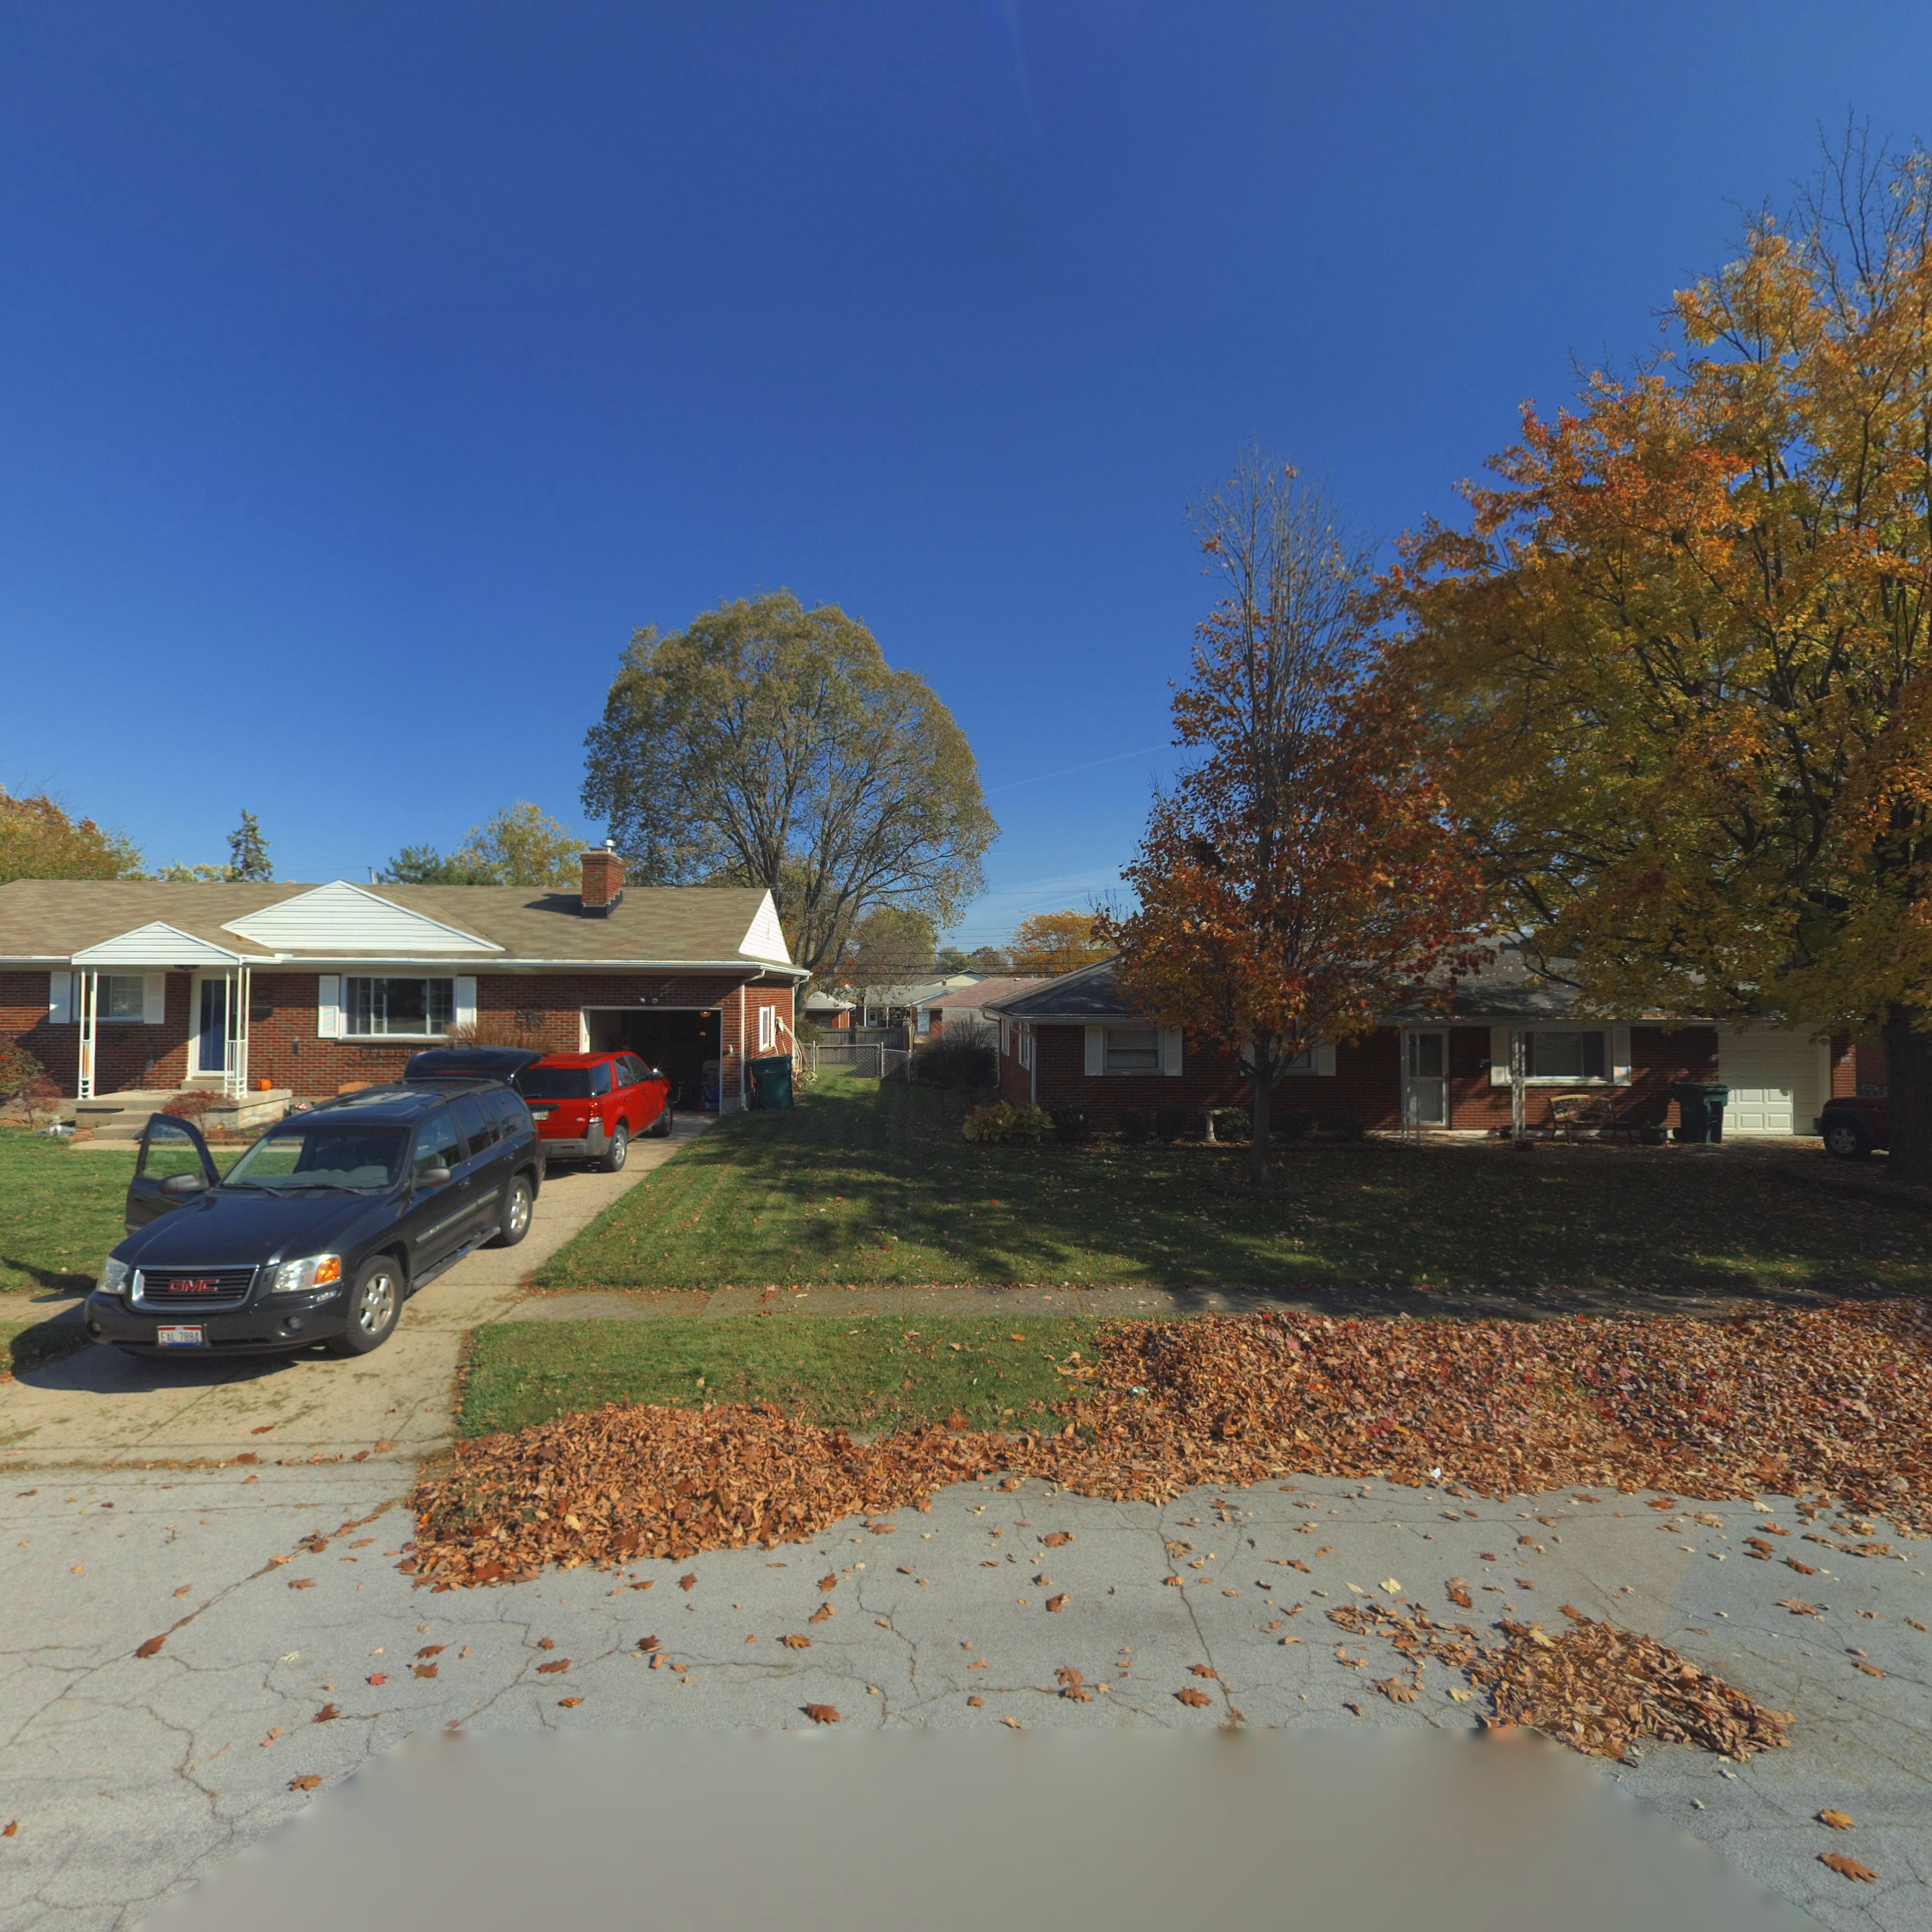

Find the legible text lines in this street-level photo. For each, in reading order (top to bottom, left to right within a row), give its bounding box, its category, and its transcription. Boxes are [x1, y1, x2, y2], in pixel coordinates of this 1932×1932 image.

[167, 1279, 219, 1293] None: GMC
[160, 1331, 199, 1342] None: EAL 7884